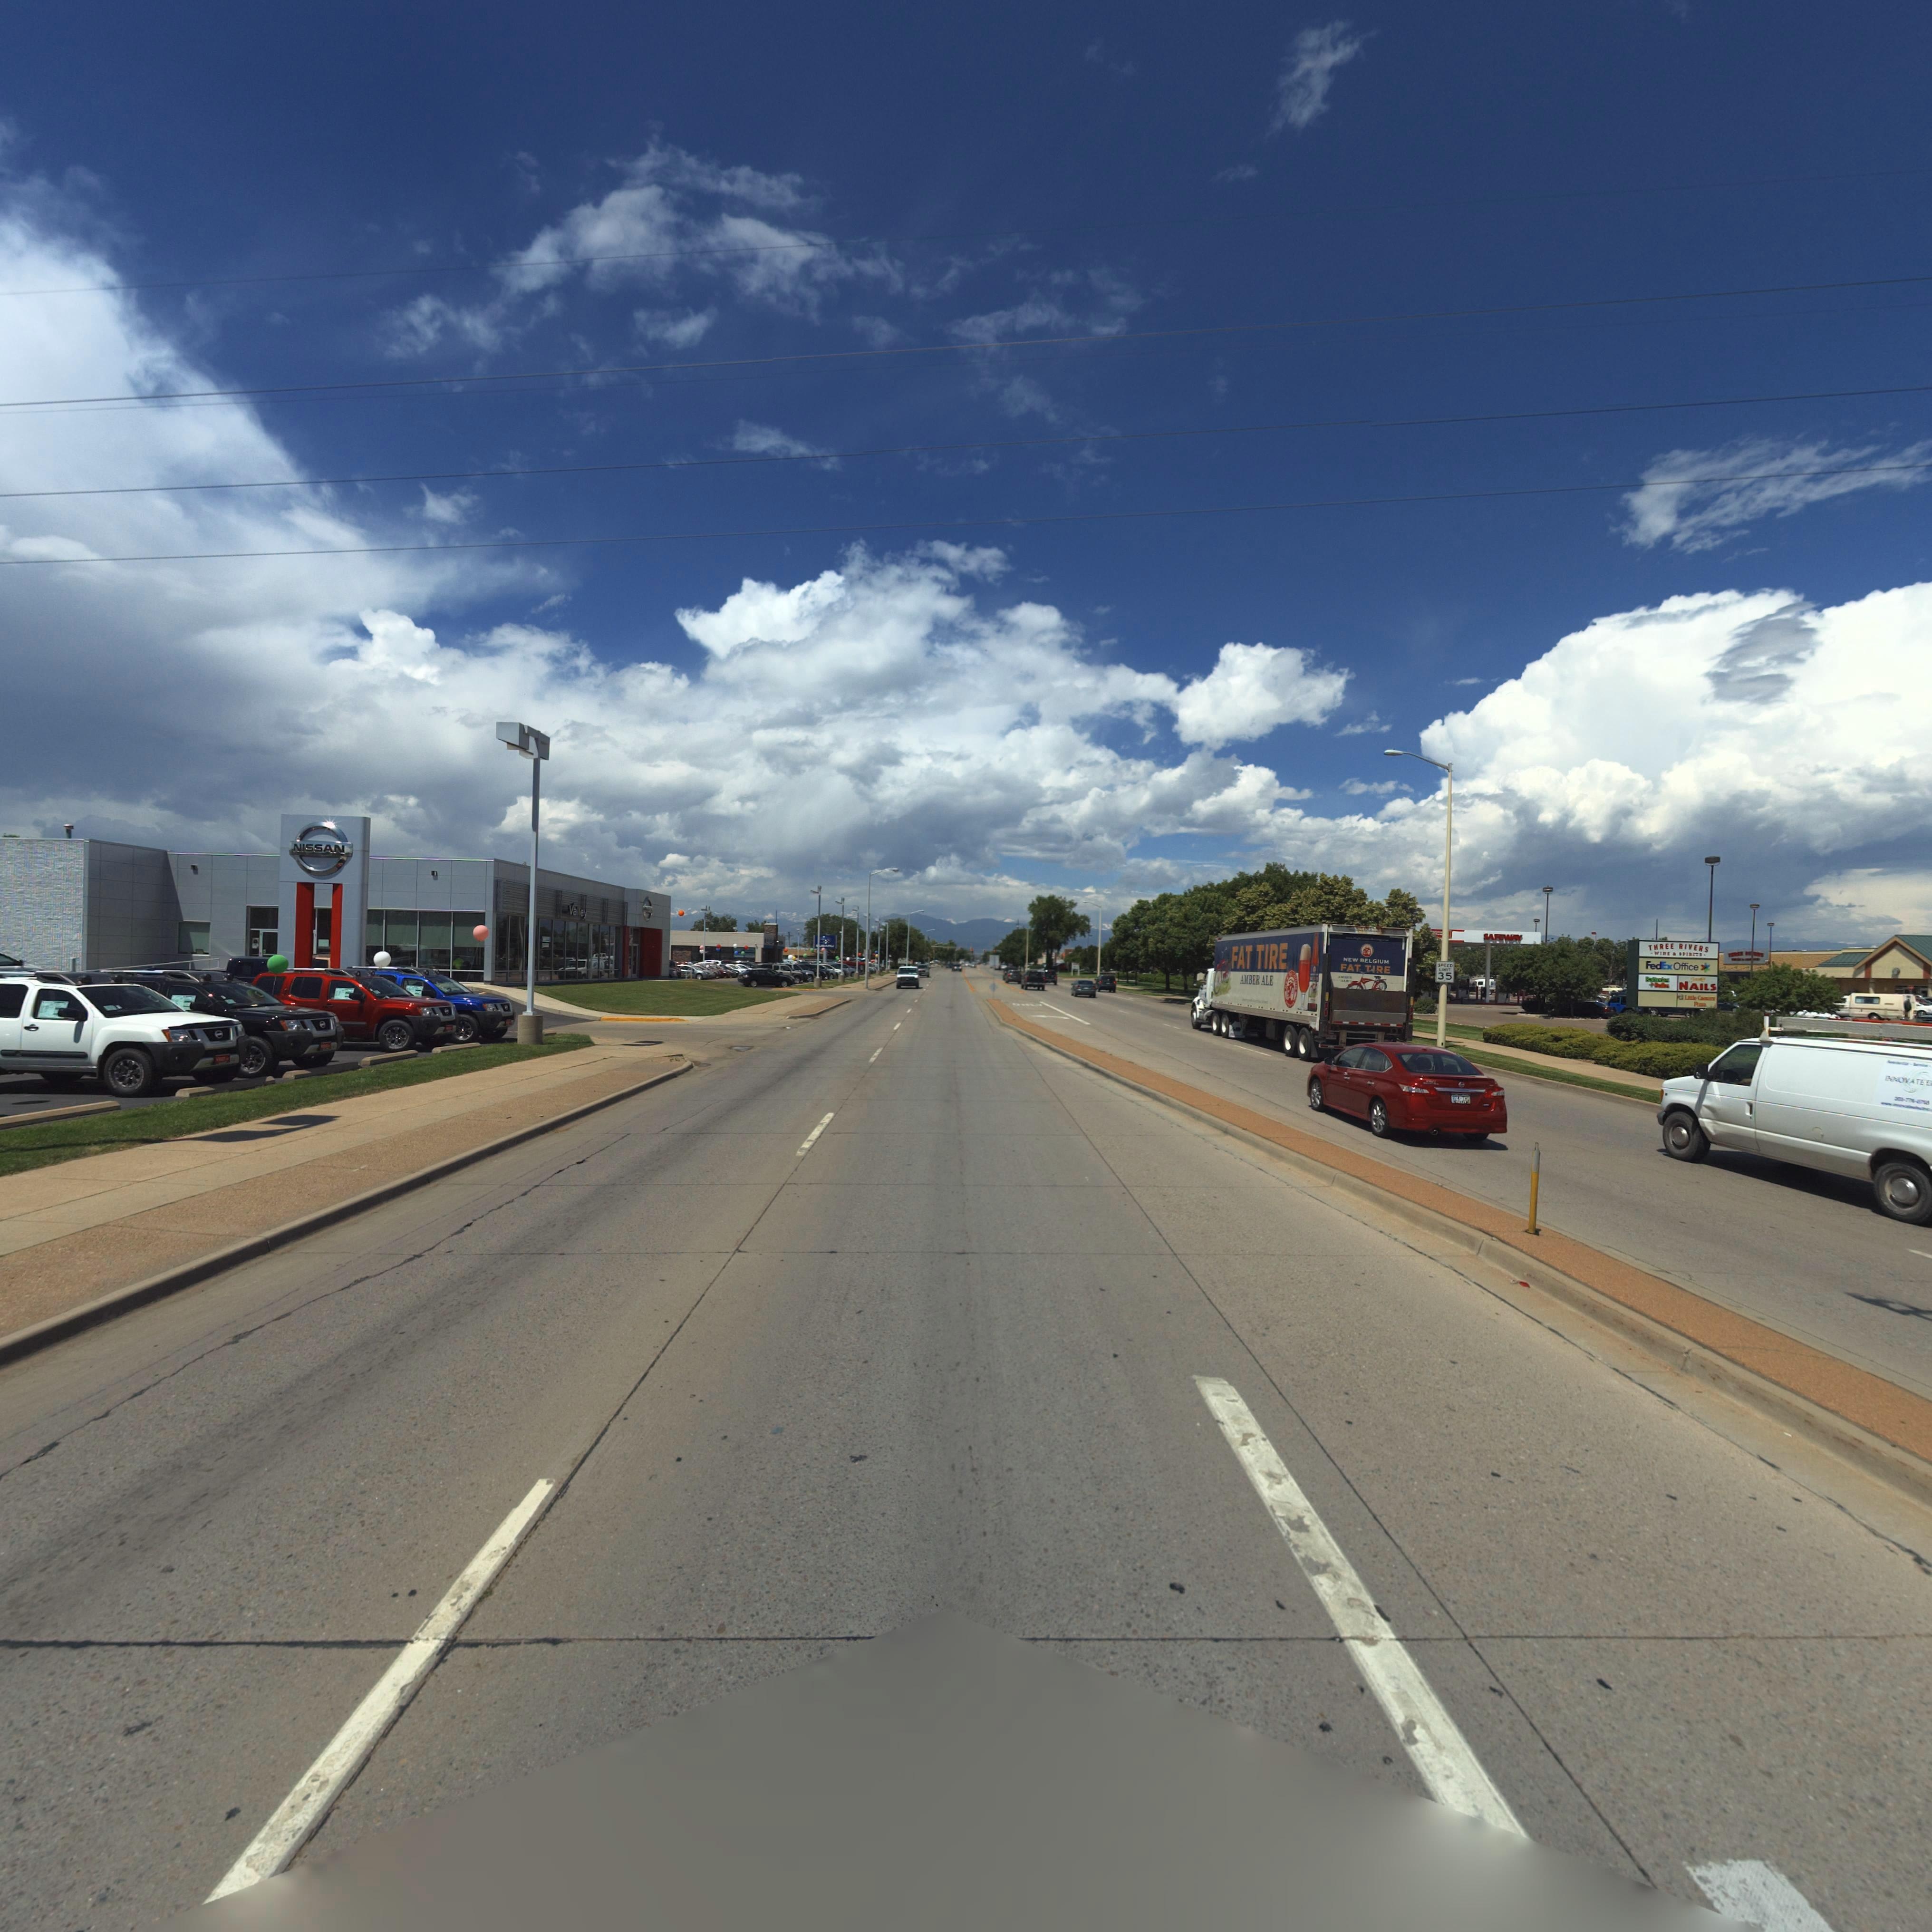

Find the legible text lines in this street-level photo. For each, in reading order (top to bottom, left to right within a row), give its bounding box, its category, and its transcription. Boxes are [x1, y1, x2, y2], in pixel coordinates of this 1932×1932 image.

[293, 843, 345, 853] BusinessName: NISSAN
[569, 905, 588, 919] BusinessName: Valley
[1483, 933, 1523, 941] BusinessName: SAFEWAY
[815, 944, 834, 947] BusinessName: **B**U
[1647, 943, 1709, 953] BusinessName: THREE RIVERS
[1653, 951, 1702, 956] BusinessName: WINE * SPIRITS
[1645, 960, 1699, 971] BusinessName: FedEx Office
[1645, 976, 1670, 983] BusinessName: Ba*******
[1690, 976, 1706, 983] BusinessName: S****
[1679, 980, 1717, 991] BusinessName: NAILS
[1684, 995, 1716, 1001] BusinessName: Little C**s*rs
[1693, 1001, 1706, 1007] BusinessName: Pizz*